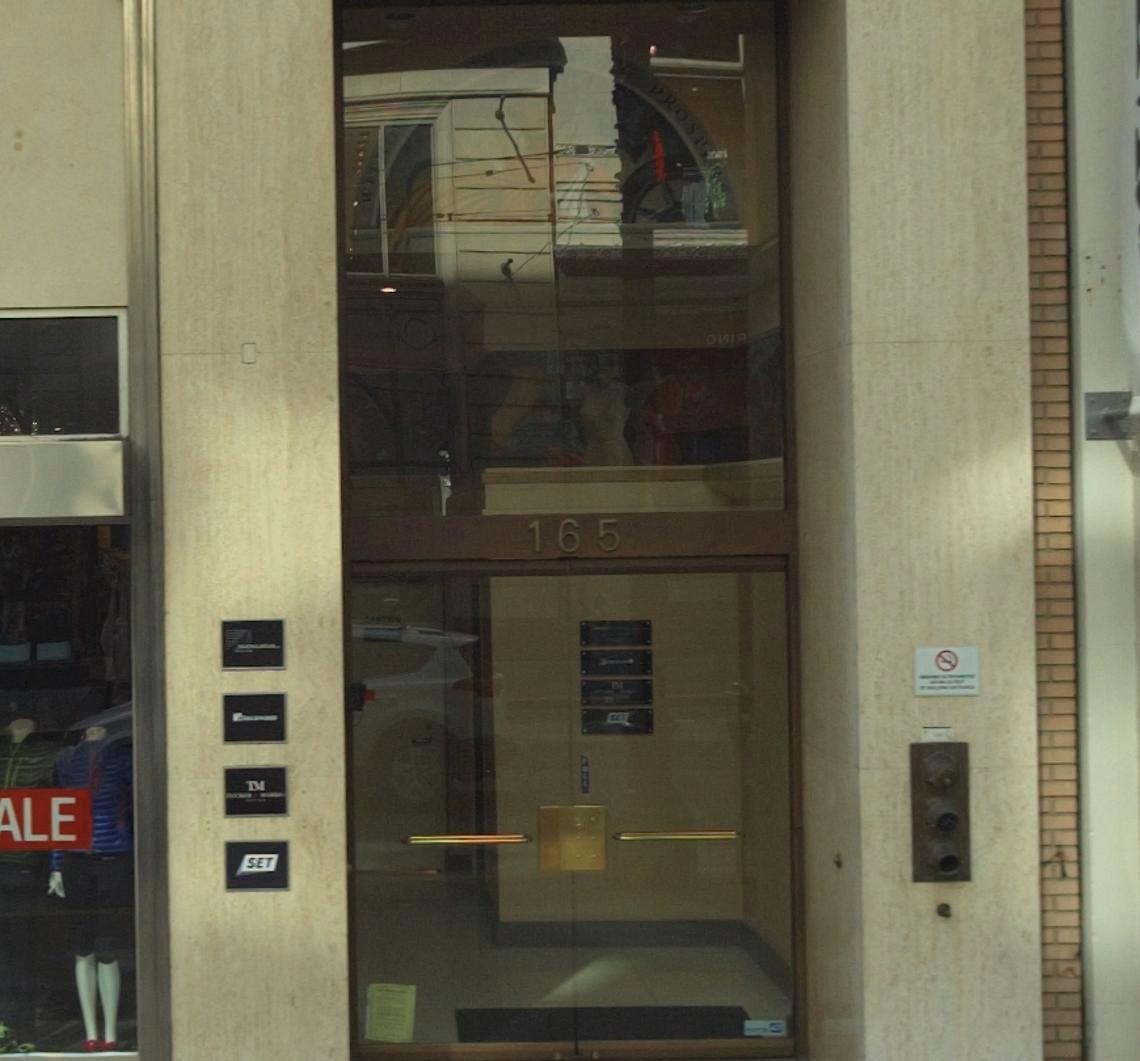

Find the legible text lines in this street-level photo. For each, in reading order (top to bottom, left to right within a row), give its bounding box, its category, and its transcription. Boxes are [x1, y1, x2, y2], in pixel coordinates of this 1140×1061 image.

[644, 77, 715, 157] None: PROSP
[523, 514, 625, 556] StreetNumber: 165
[244, 776, 268, 795] None: TM
[18, 790, 83, 848] None: LE
[242, 854, 278, 871] None: SET